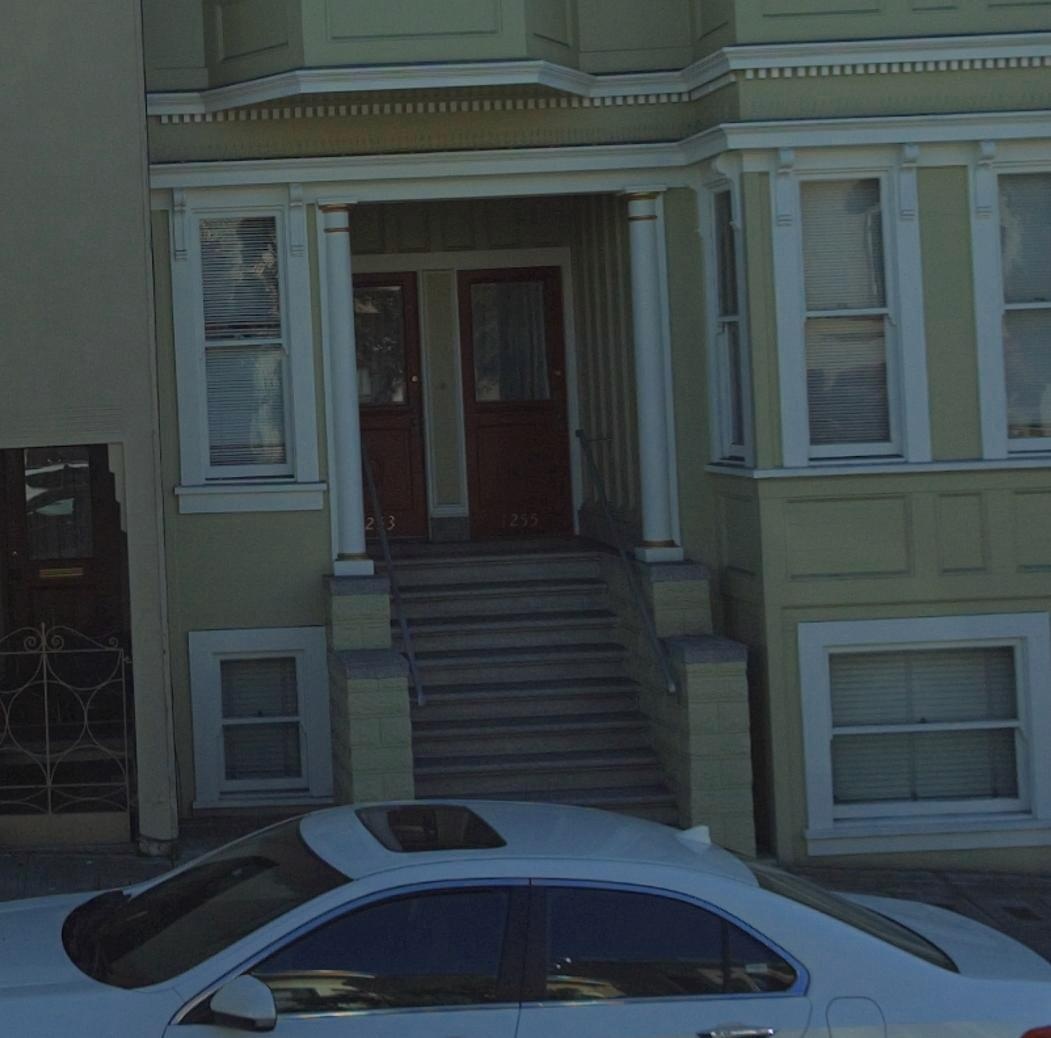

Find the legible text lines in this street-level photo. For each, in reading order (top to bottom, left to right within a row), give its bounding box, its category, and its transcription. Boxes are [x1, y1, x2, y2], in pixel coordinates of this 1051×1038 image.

[363, 514, 397, 532] StreetNumber: 2*3
[501, 511, 540, 528] StreetNumber: 1255